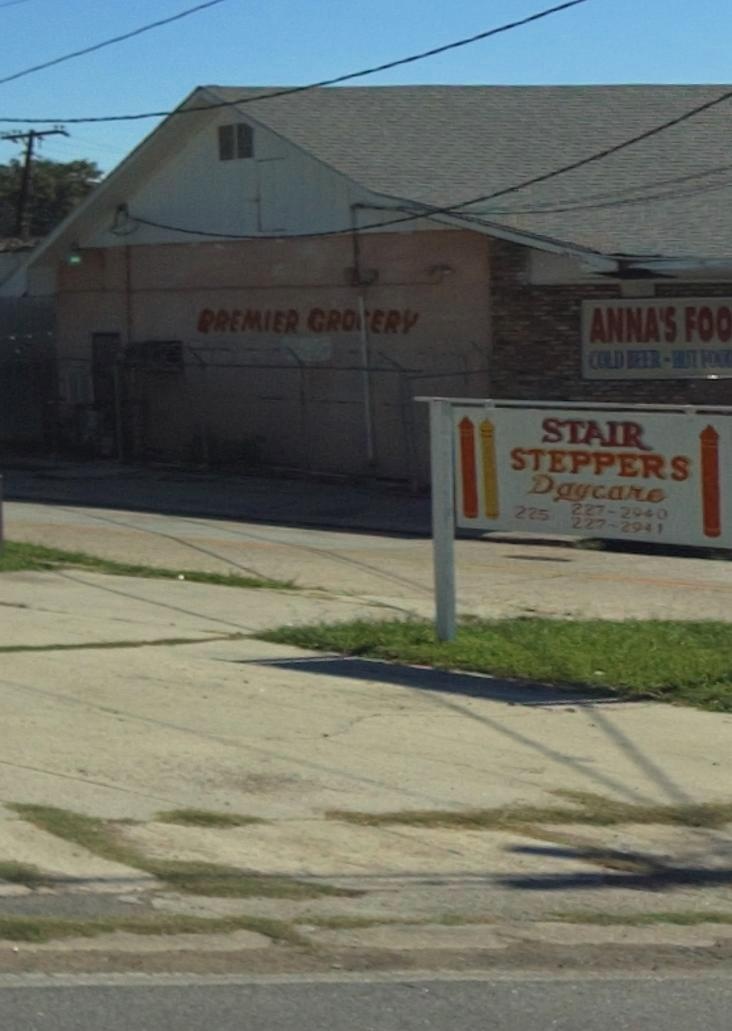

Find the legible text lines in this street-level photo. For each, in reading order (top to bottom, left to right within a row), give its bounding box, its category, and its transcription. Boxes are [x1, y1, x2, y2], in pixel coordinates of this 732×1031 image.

[196, 305, 423, 337] None: PREMIER GRO*ERY
[587, 305, 717, 344] BusinessName: ANNA'S FO
[587, 348, 718, 372] None: COLD BEER * HOT FO
[540, 416, 648, 449] BusinessName: STAIR
[508, 445, 692, 483] BusinessName: STEPPERS
[525, 473, 670, 505] BusinessName: Daycare
[513, 504, 551, 522] StreetNumber: 225
[570, 514, 664, 537] None: 227-2941
[570, 502, 671, 521] None: 227-2940